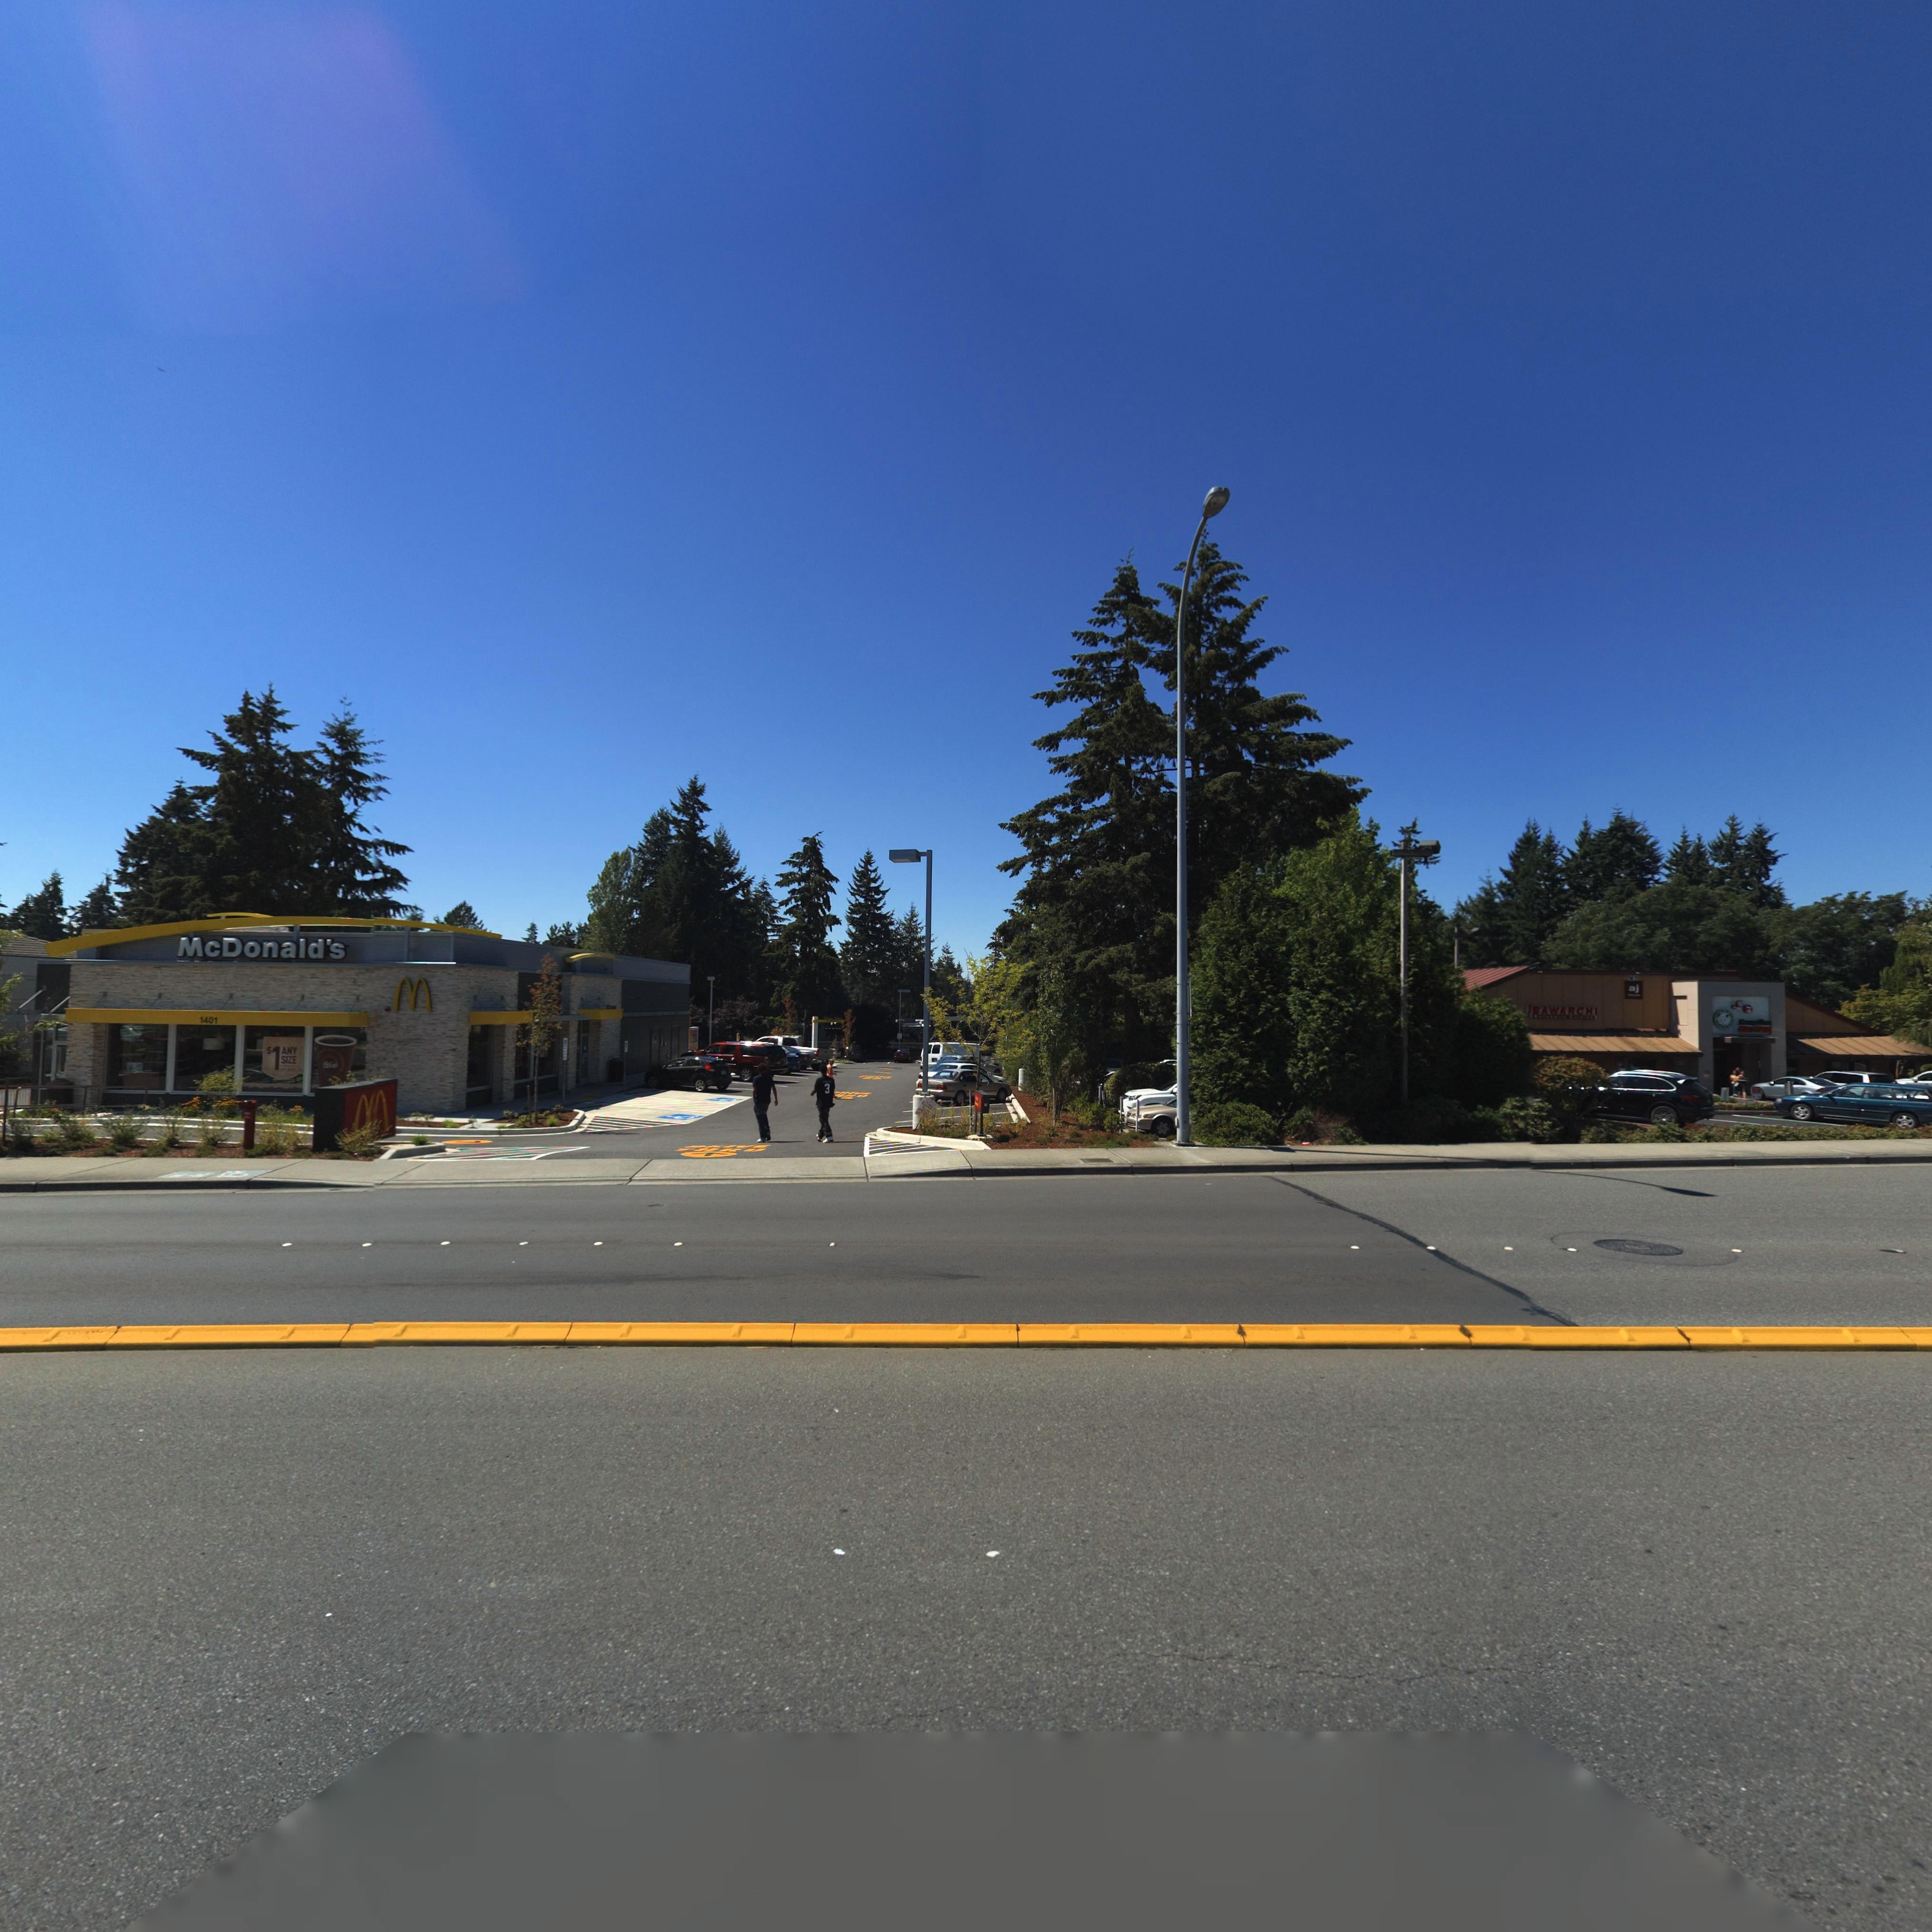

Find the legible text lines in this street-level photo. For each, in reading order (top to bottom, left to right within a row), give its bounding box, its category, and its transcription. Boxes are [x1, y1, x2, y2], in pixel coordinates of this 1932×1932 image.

[175, 935, 348, 961] BusinessName: McDonald*s
[1532, 1005, 1597, 1015] BusinessName: BAWARCHI
[199, 1016, 217, 1024] StreetNumber: 1401